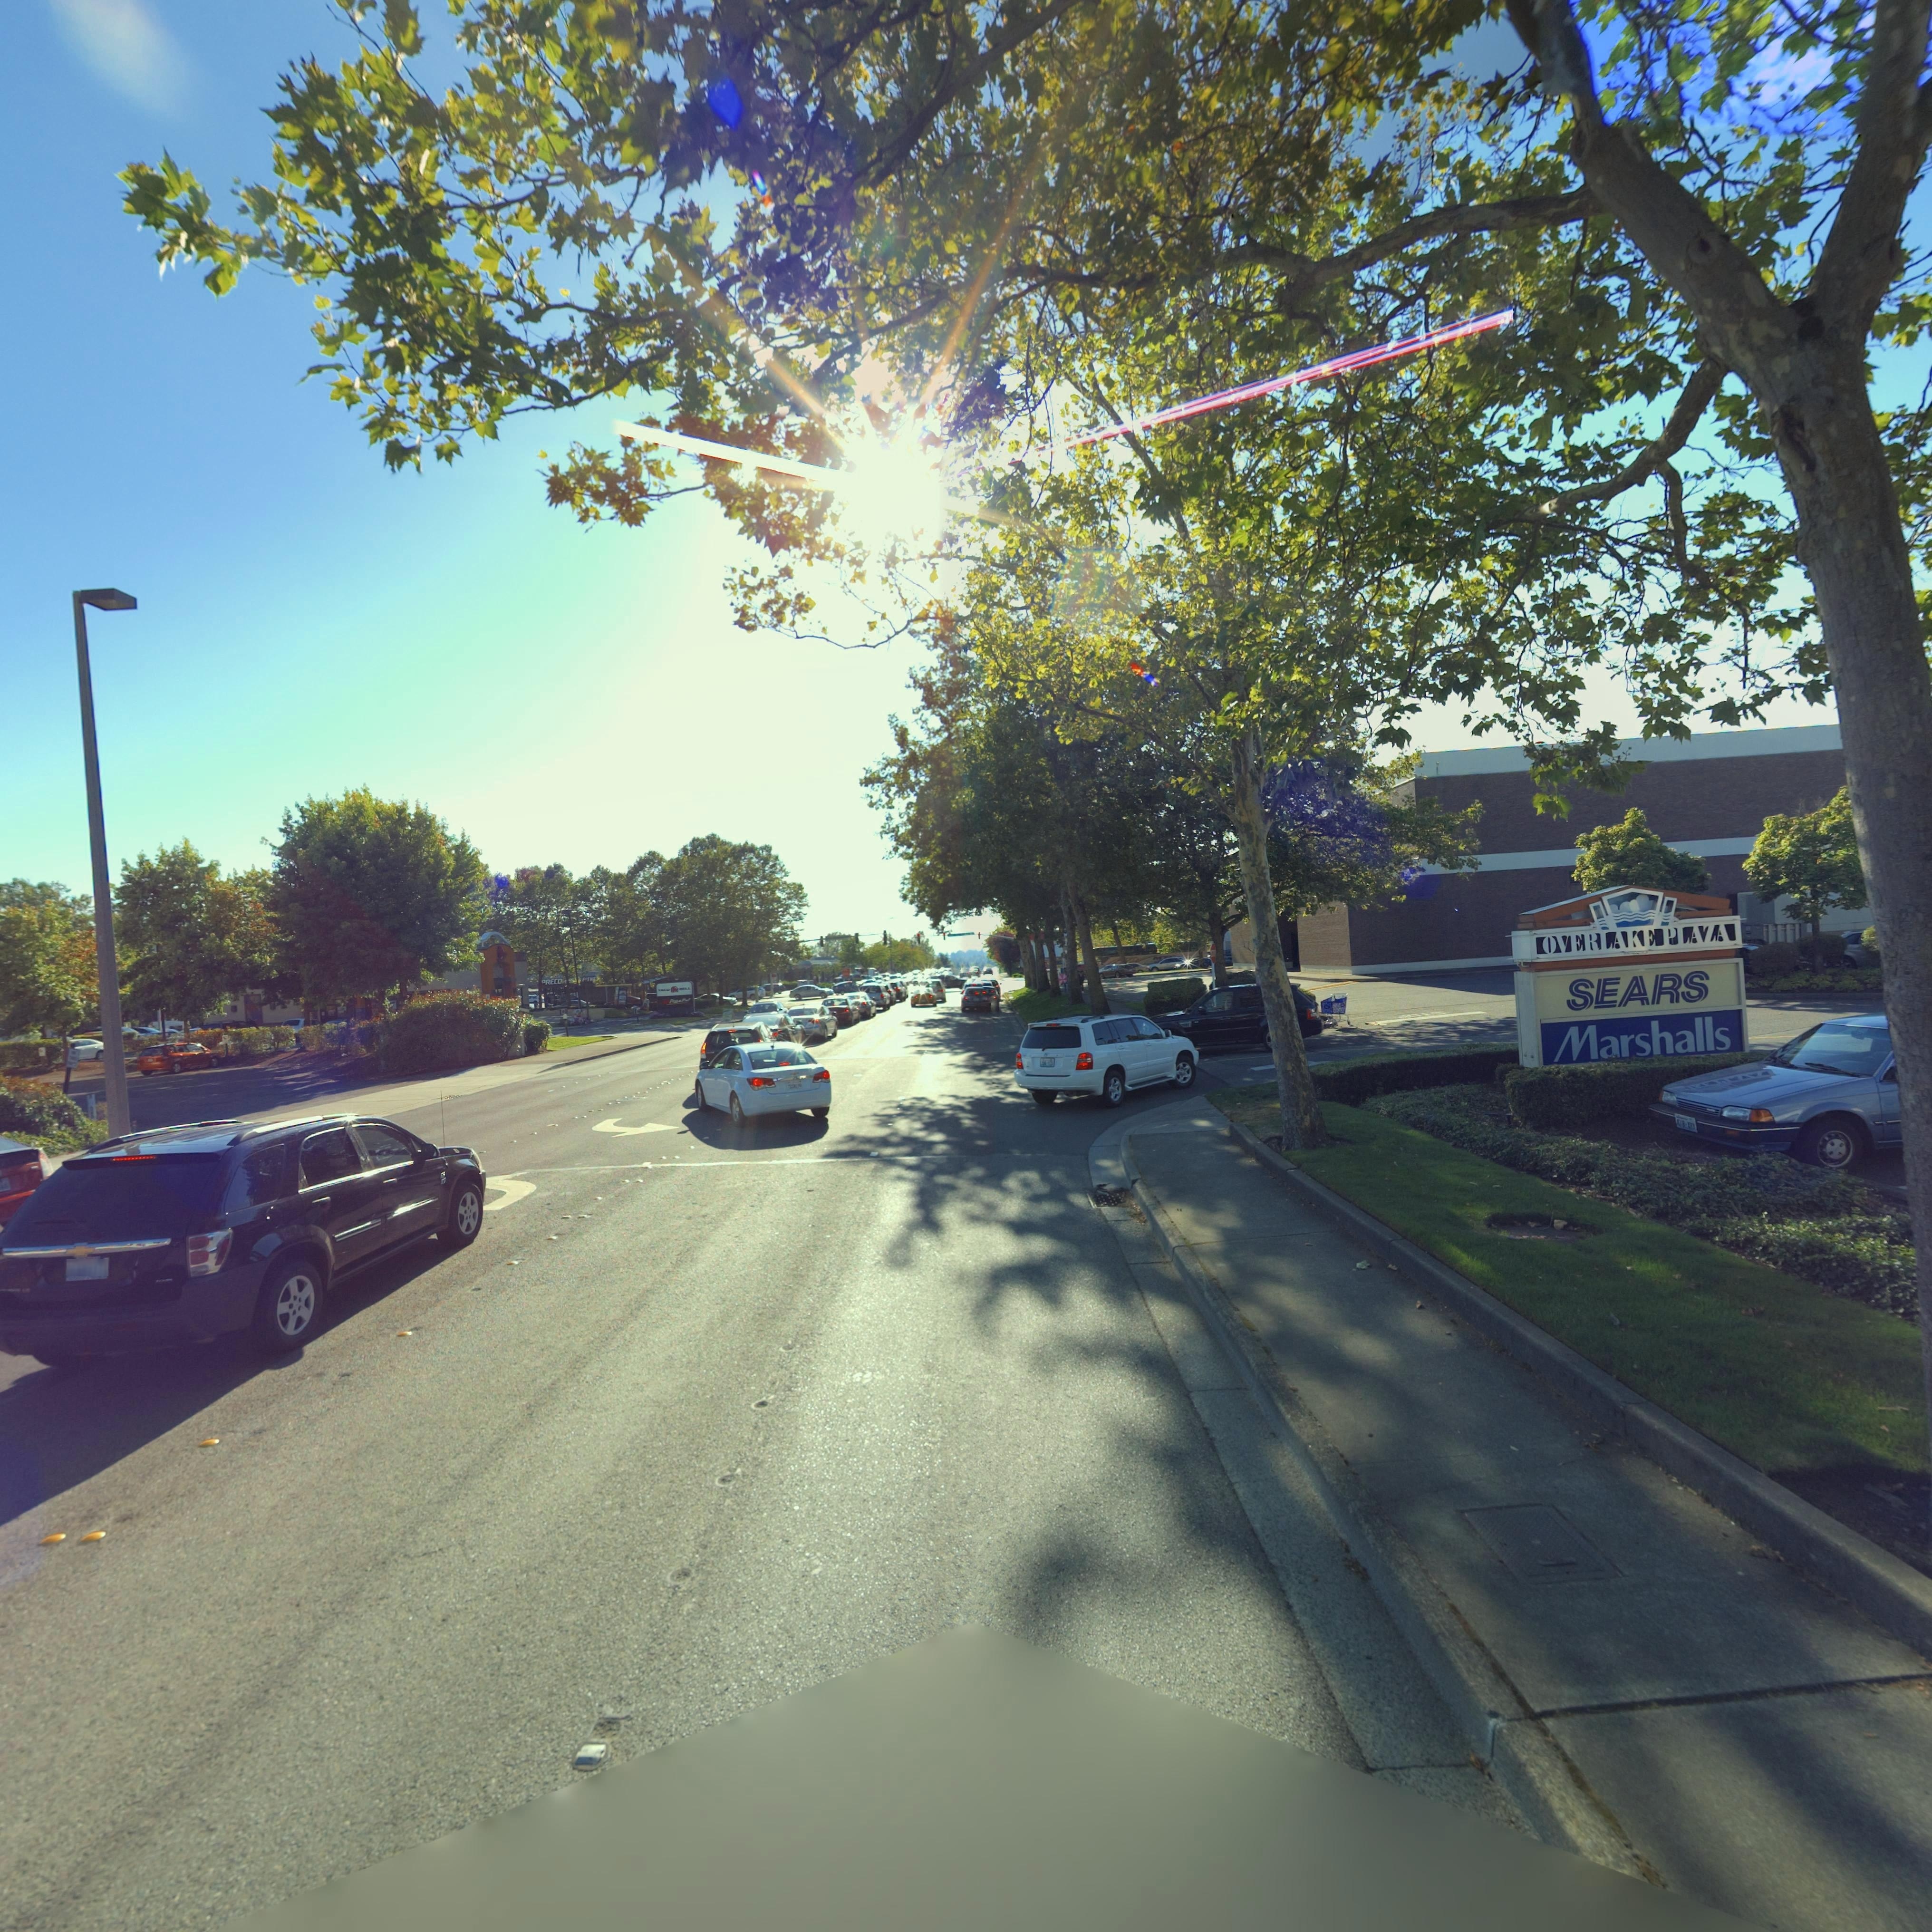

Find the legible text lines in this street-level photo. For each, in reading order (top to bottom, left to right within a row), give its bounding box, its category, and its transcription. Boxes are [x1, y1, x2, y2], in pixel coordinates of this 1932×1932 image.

[1565, 970, 1710, 1011] BusinessName: SEARS
[1550, 1015, 1734, 1064] BusinessName: Marshalls